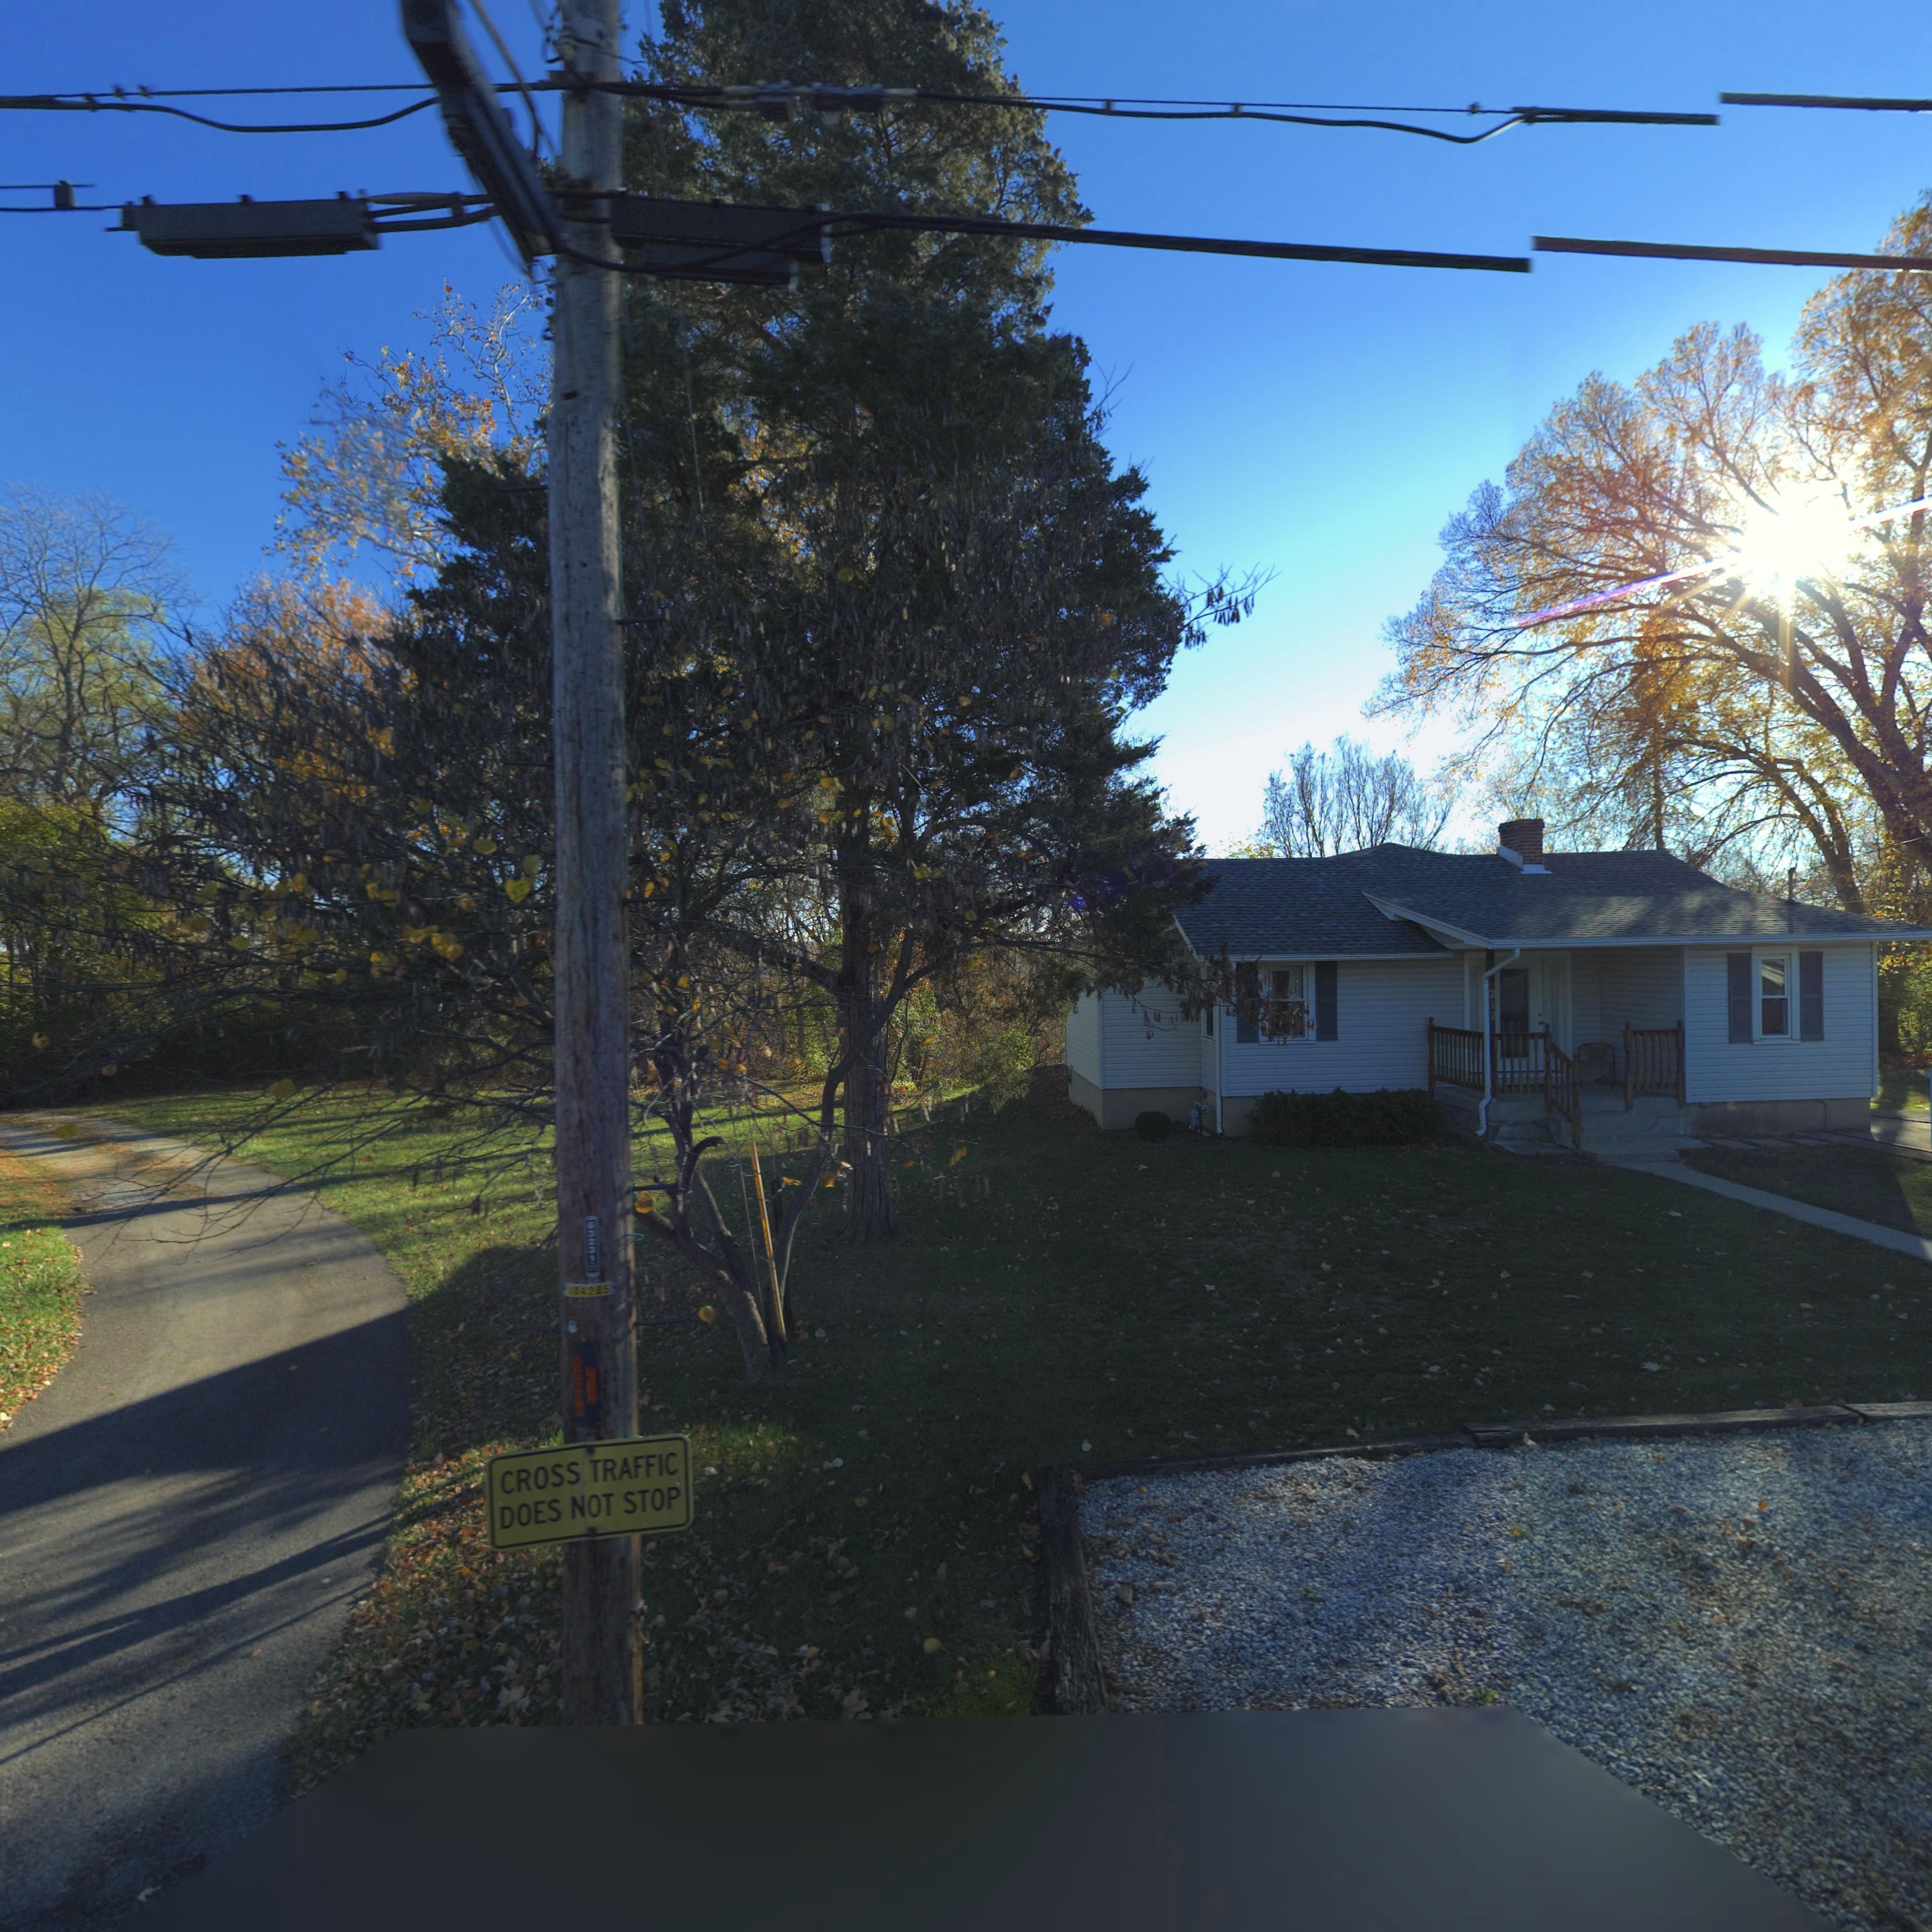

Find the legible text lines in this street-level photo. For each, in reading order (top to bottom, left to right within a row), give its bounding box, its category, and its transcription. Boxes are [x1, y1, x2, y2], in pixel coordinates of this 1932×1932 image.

[1489, 988, 1496, 1021] StreetNumber: 212